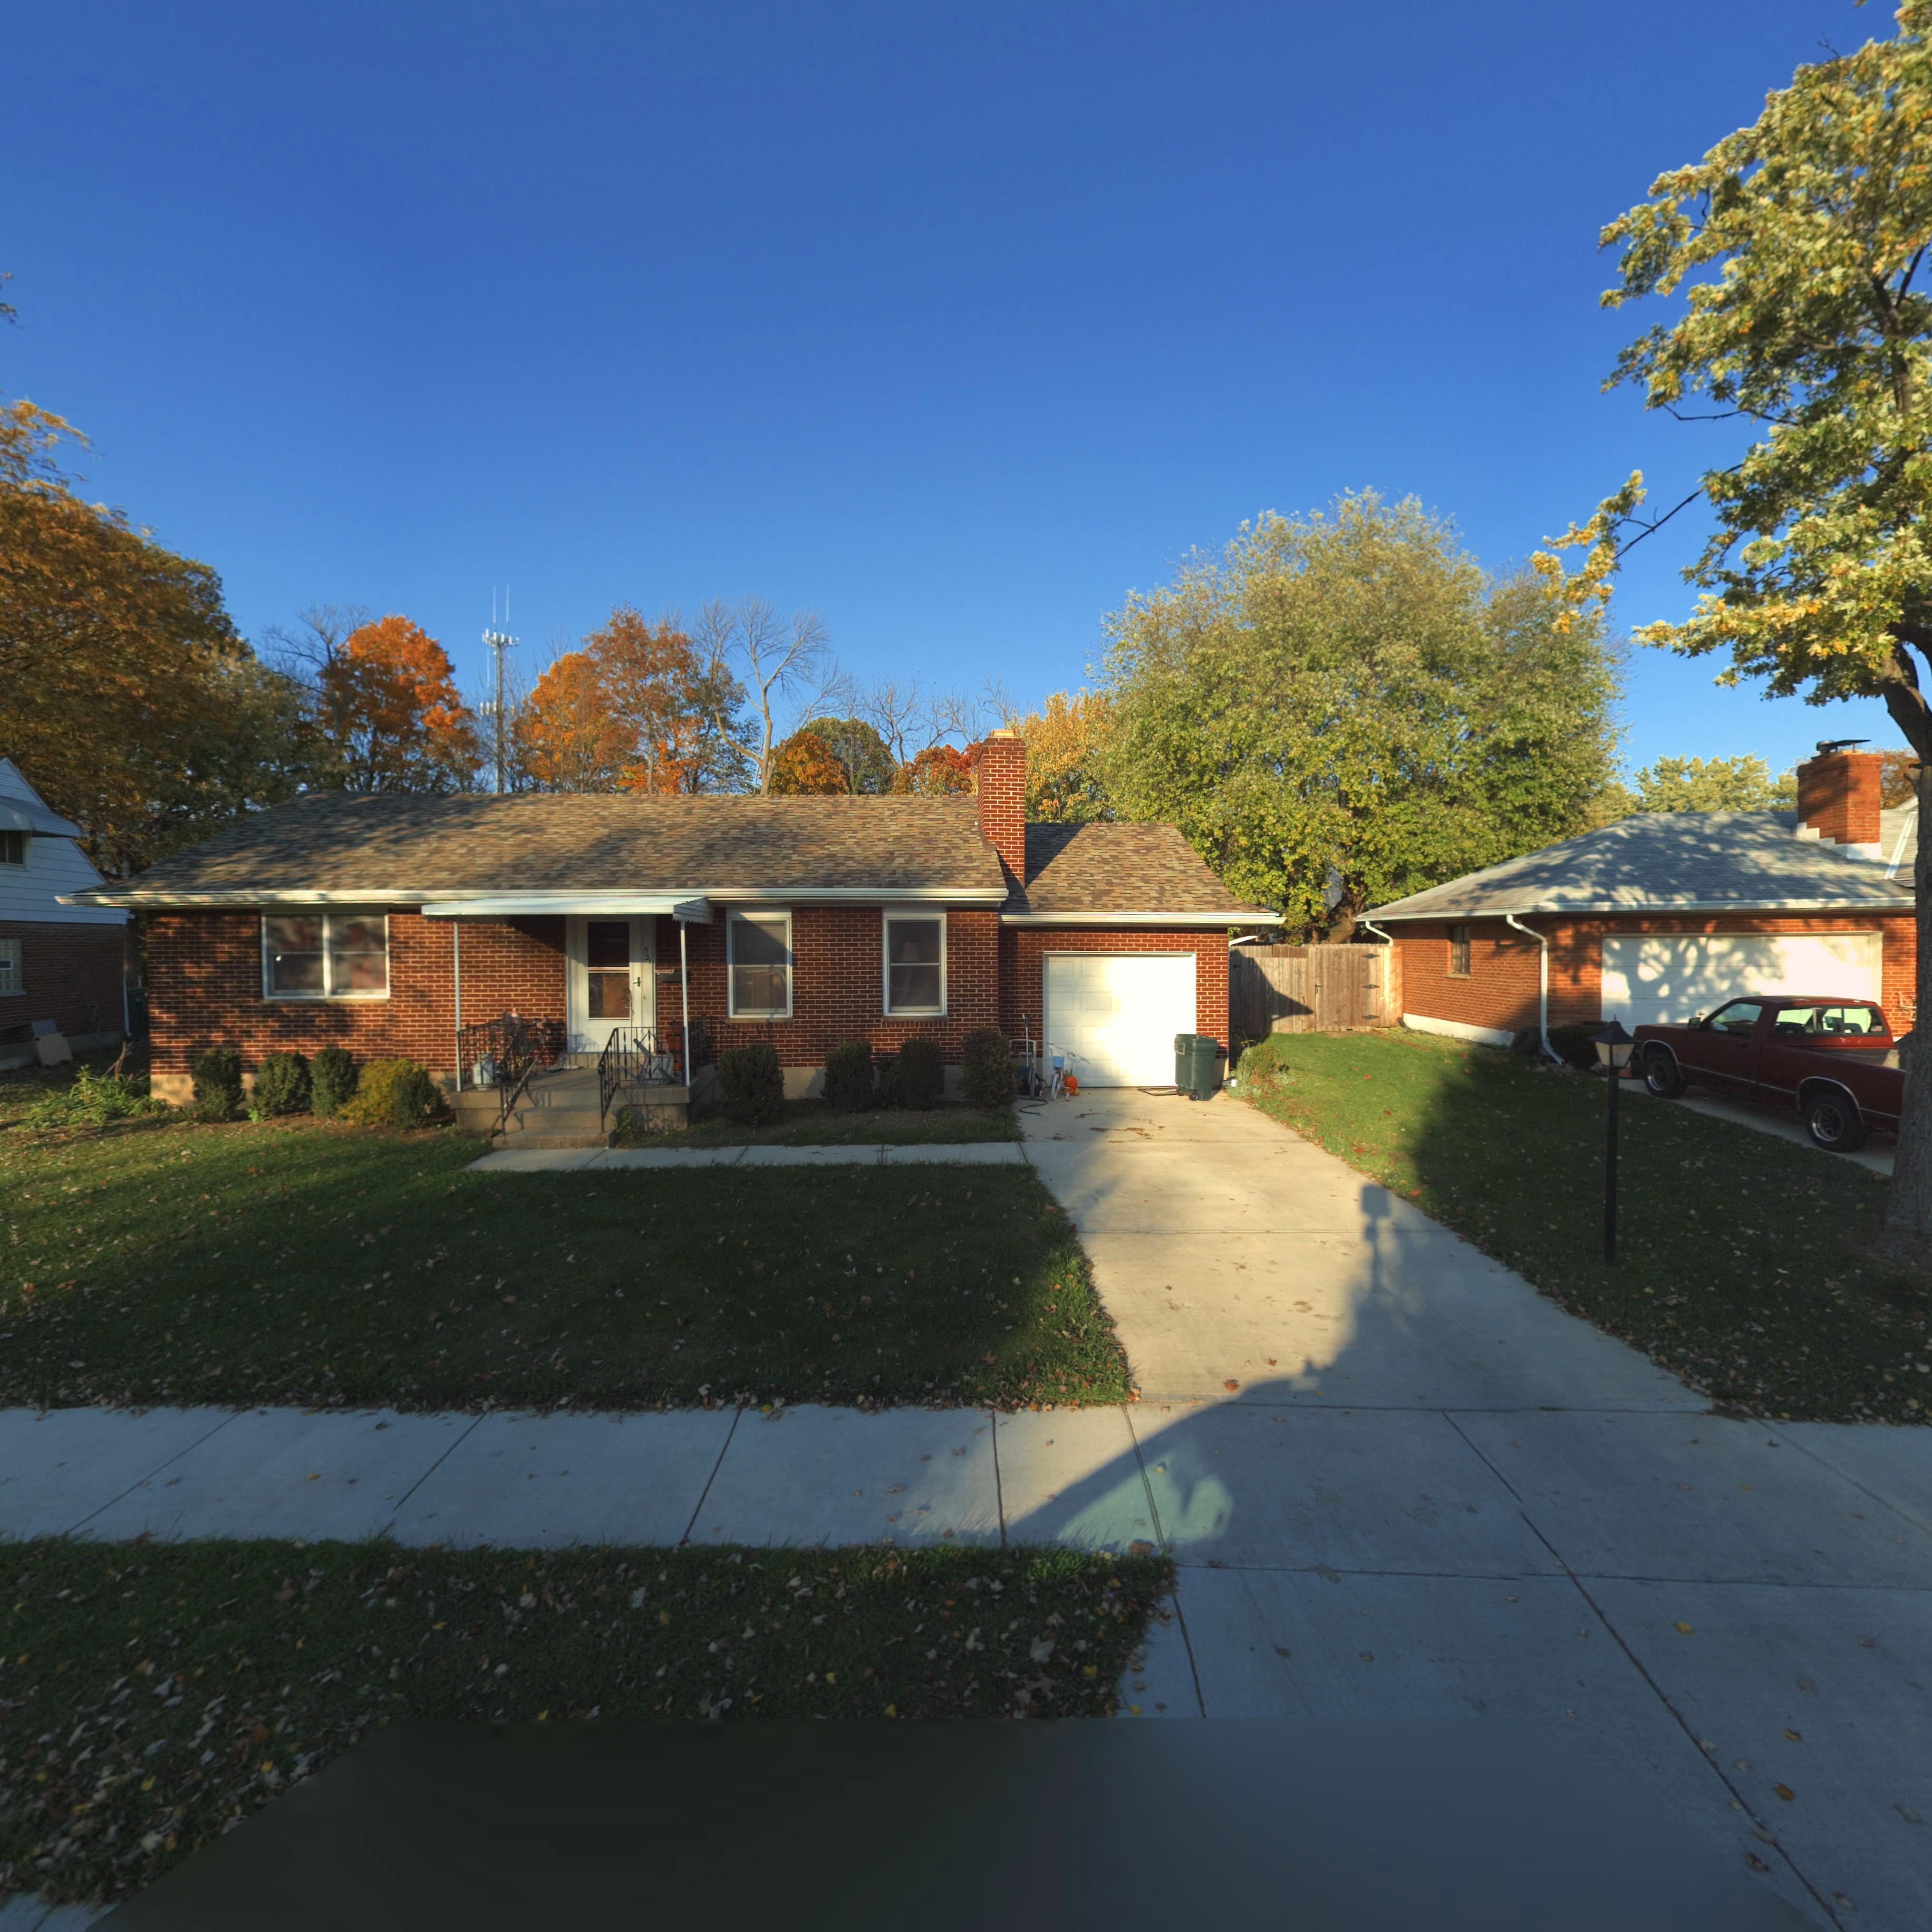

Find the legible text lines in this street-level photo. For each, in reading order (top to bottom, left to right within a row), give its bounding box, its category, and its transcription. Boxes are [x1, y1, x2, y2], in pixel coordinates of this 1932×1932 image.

[643, 946, 652, 966] StreetNumber: 521